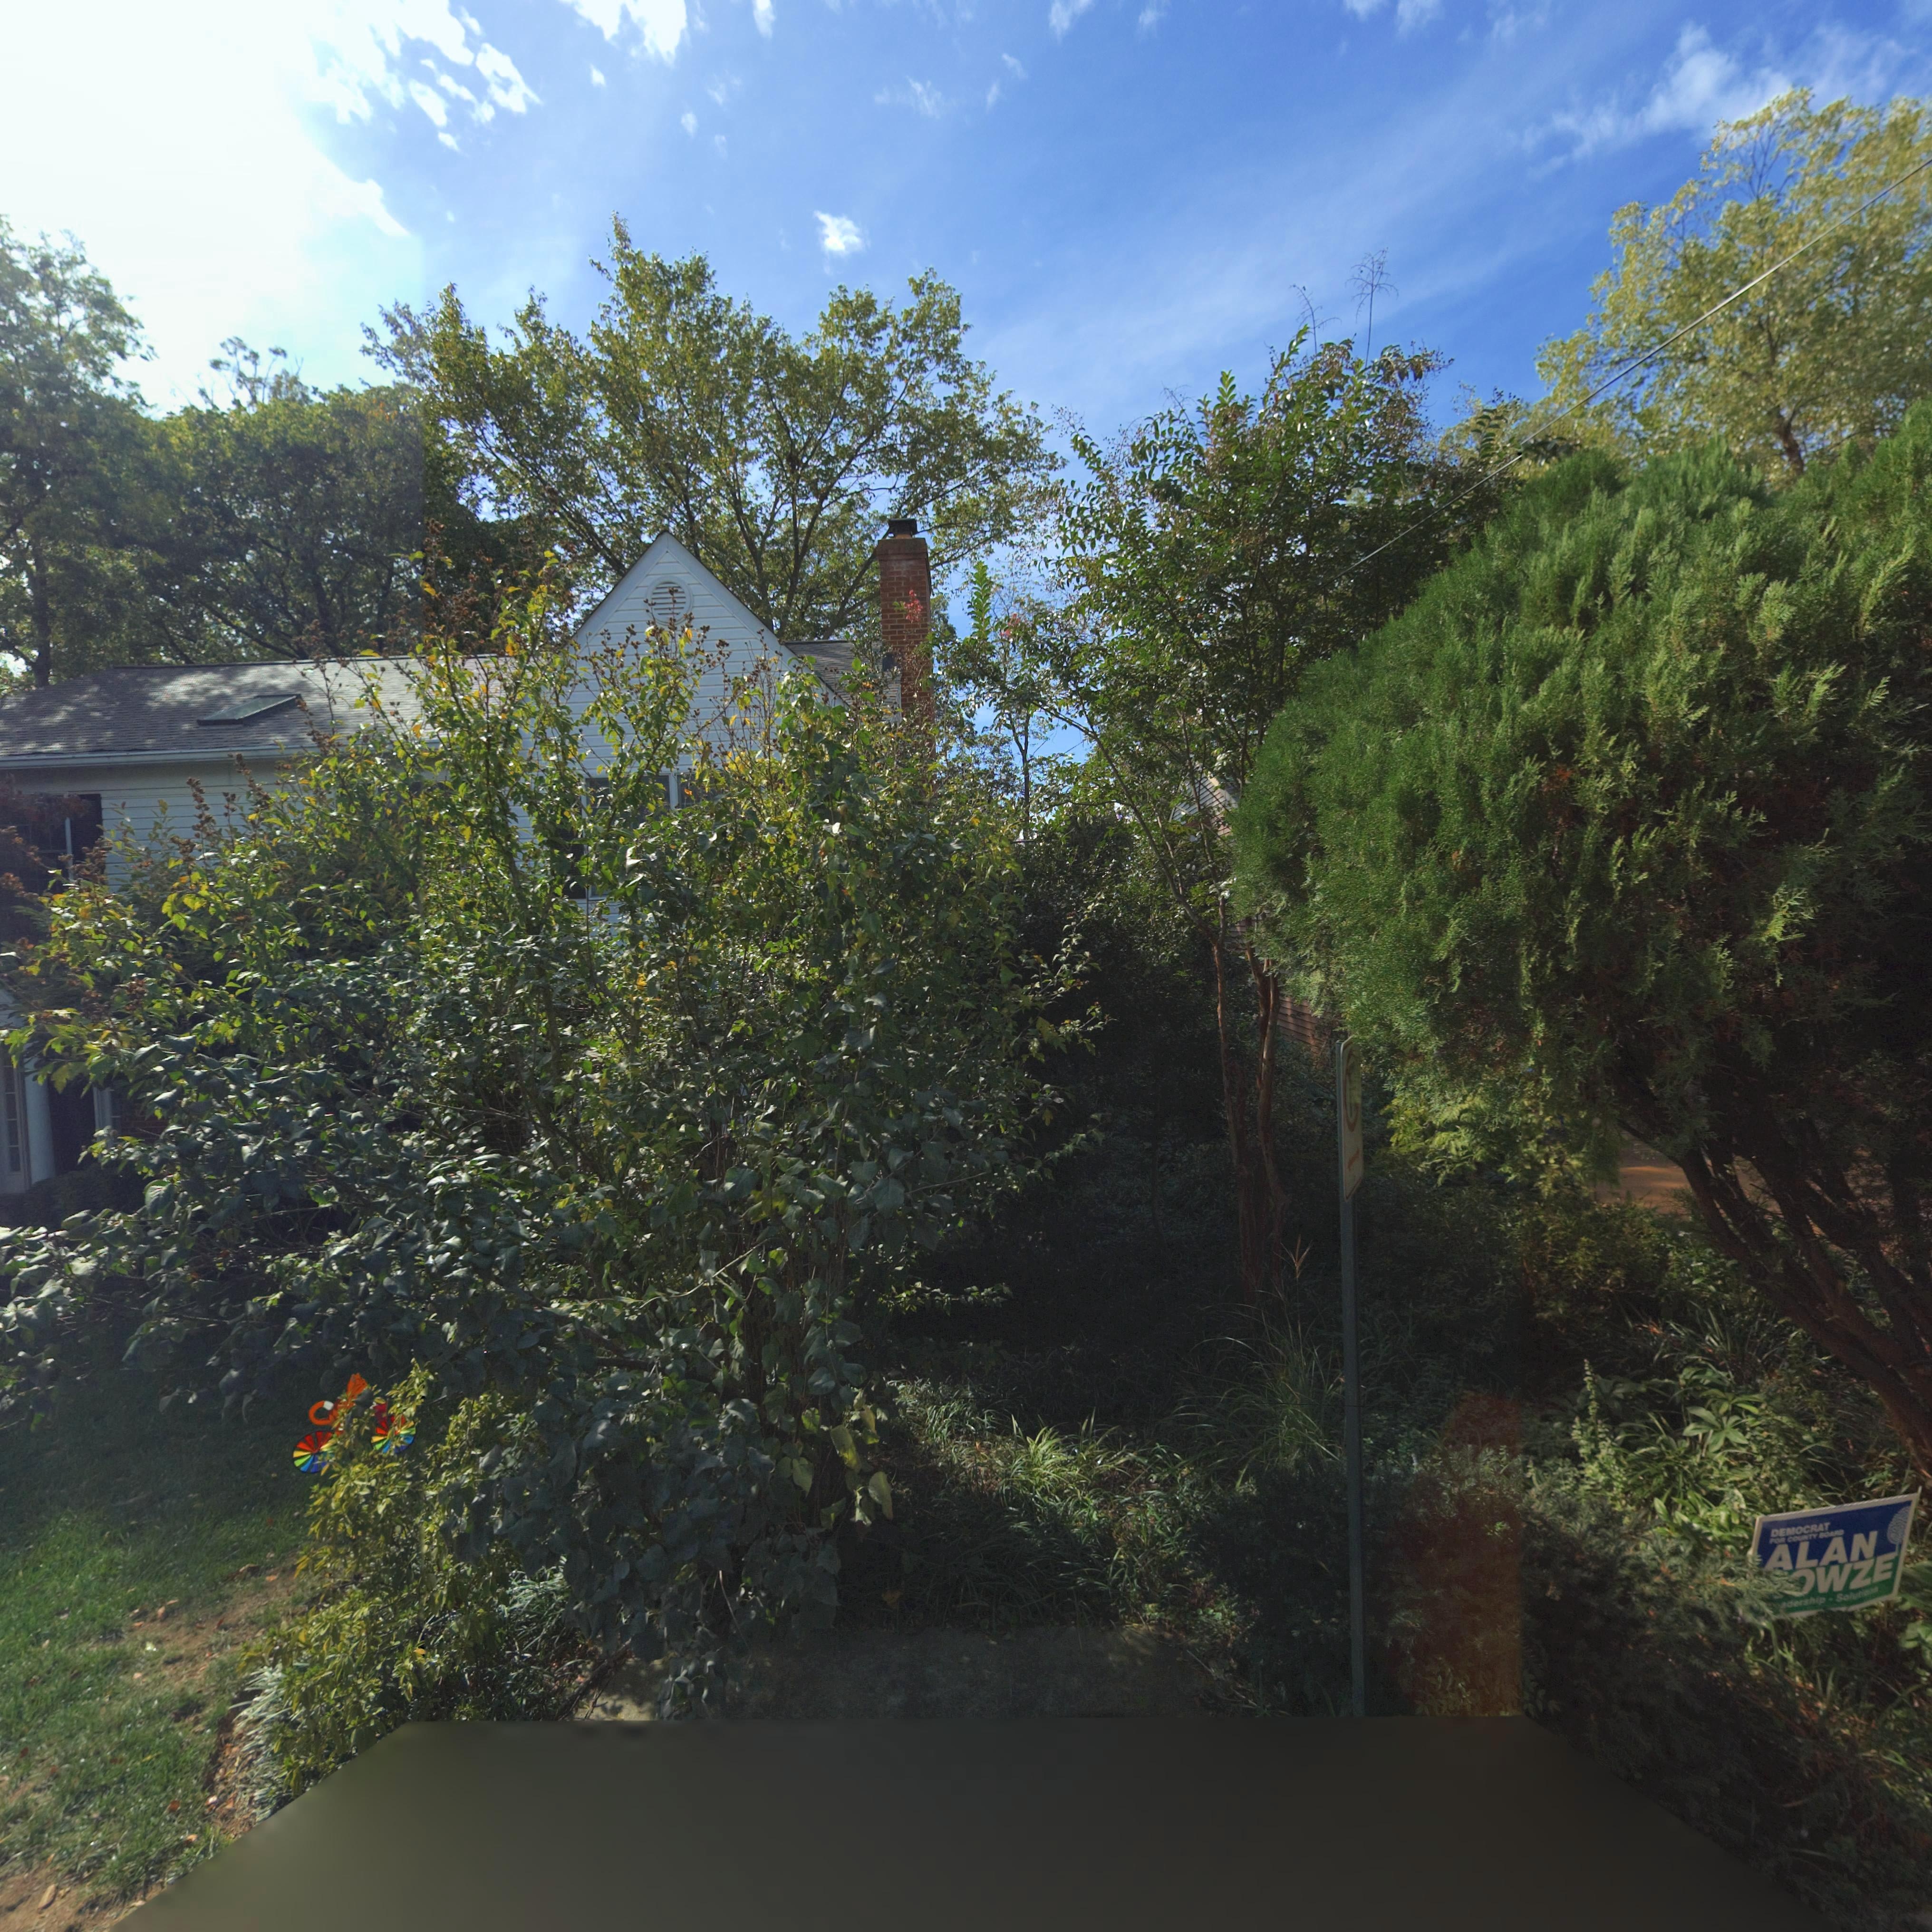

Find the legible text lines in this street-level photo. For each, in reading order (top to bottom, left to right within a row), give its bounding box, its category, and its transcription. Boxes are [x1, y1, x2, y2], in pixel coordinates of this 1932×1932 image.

[1768, 1520, 1832, 1539] None: DEMOCRAT
[1762, 1529, 1879, 1572] None: ALAN
[1814, 1552, 1895, 1594] None: WZE